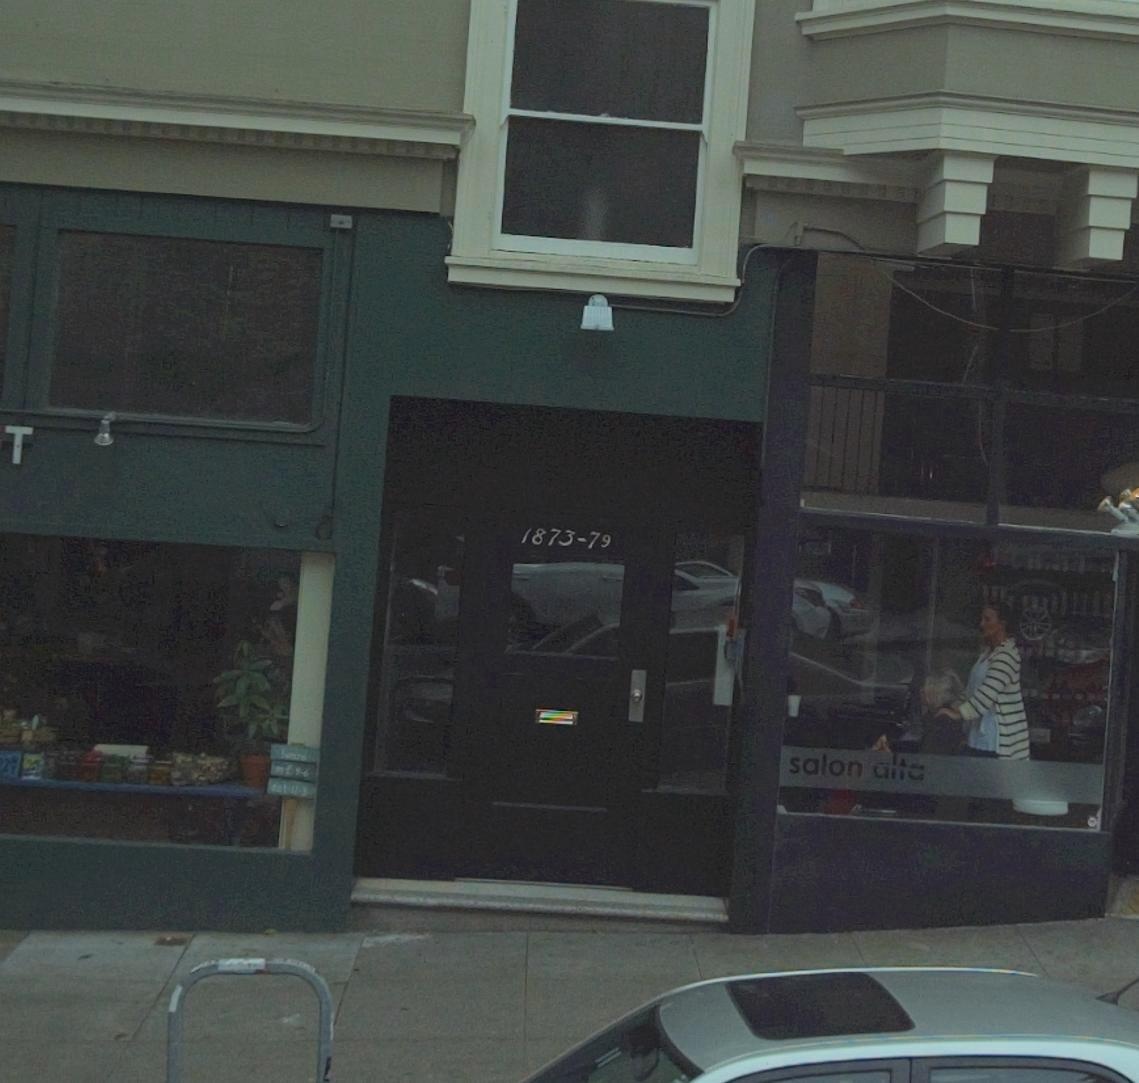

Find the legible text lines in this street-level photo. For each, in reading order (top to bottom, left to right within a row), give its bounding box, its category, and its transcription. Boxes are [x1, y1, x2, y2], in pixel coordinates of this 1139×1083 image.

[517, 526, 579, 549] StreetNumber: 1873
[585, 527, 614, 551] StreetNumber: 79
[787, 750, 928, 784] BusinessName: salon alta